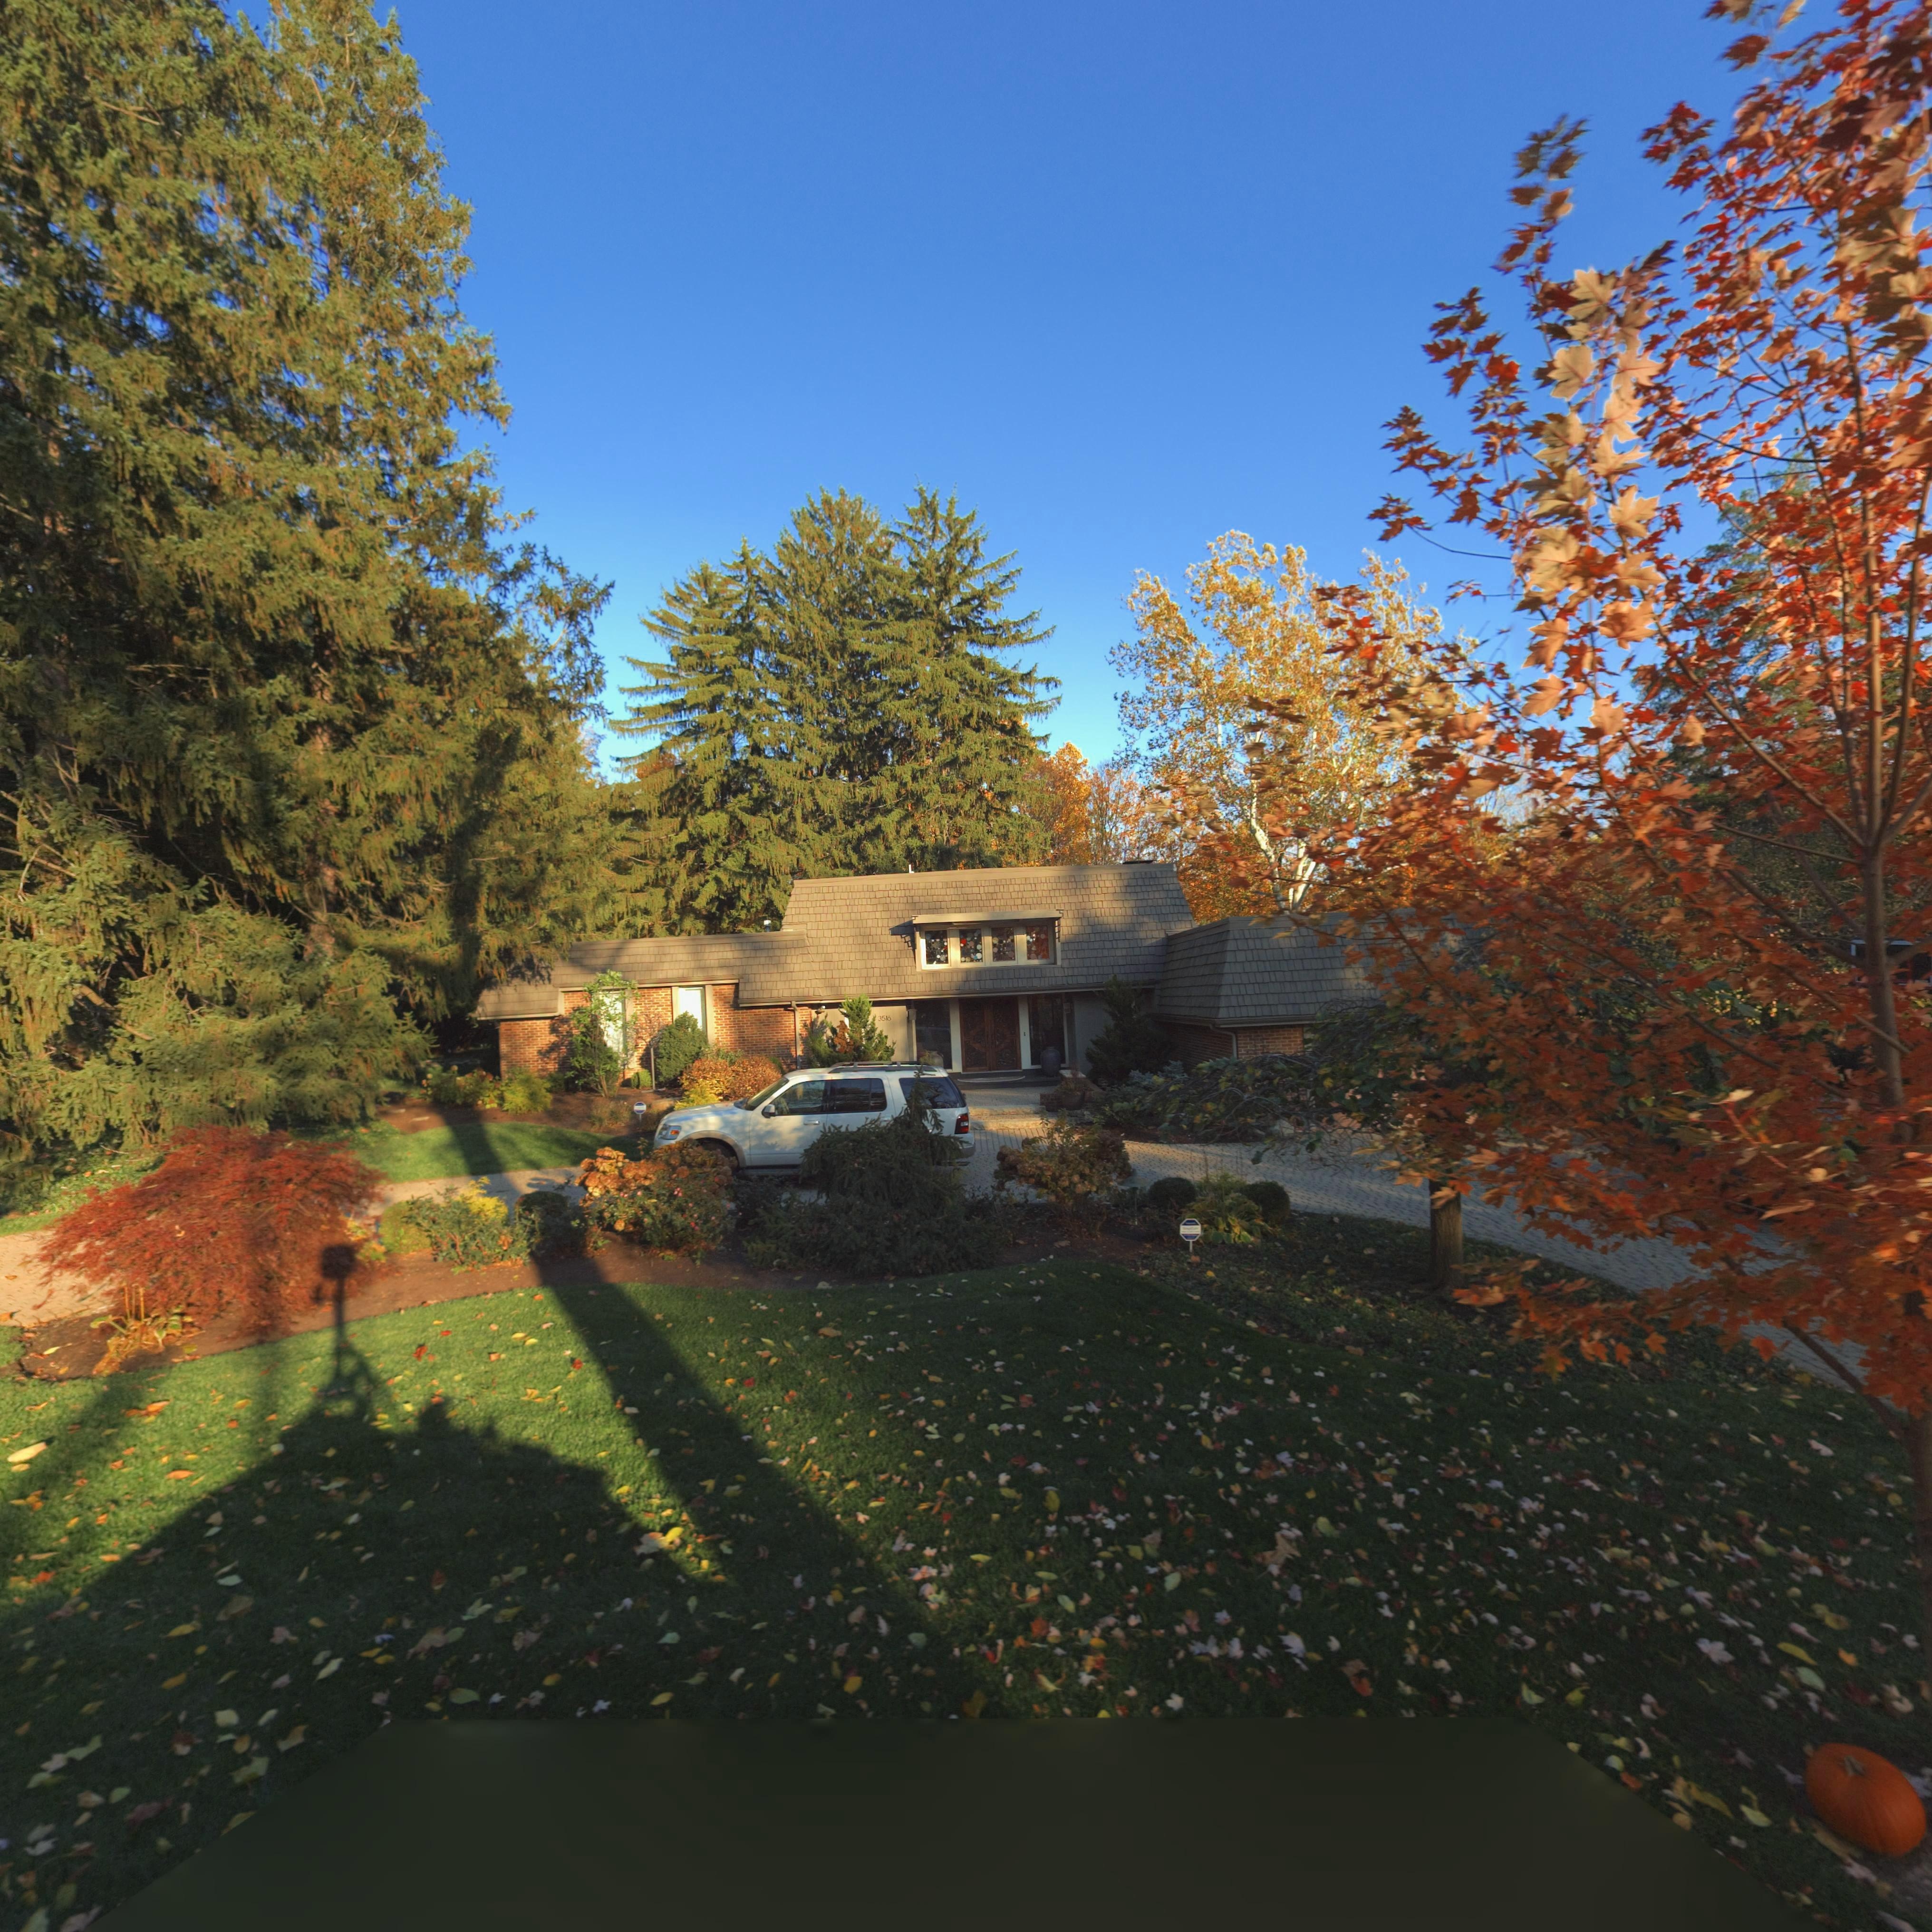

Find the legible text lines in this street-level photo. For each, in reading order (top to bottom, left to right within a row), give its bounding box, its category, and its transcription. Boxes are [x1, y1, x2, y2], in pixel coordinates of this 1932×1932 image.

[877, 1014, 892, 1022] StreetNumber: 3516